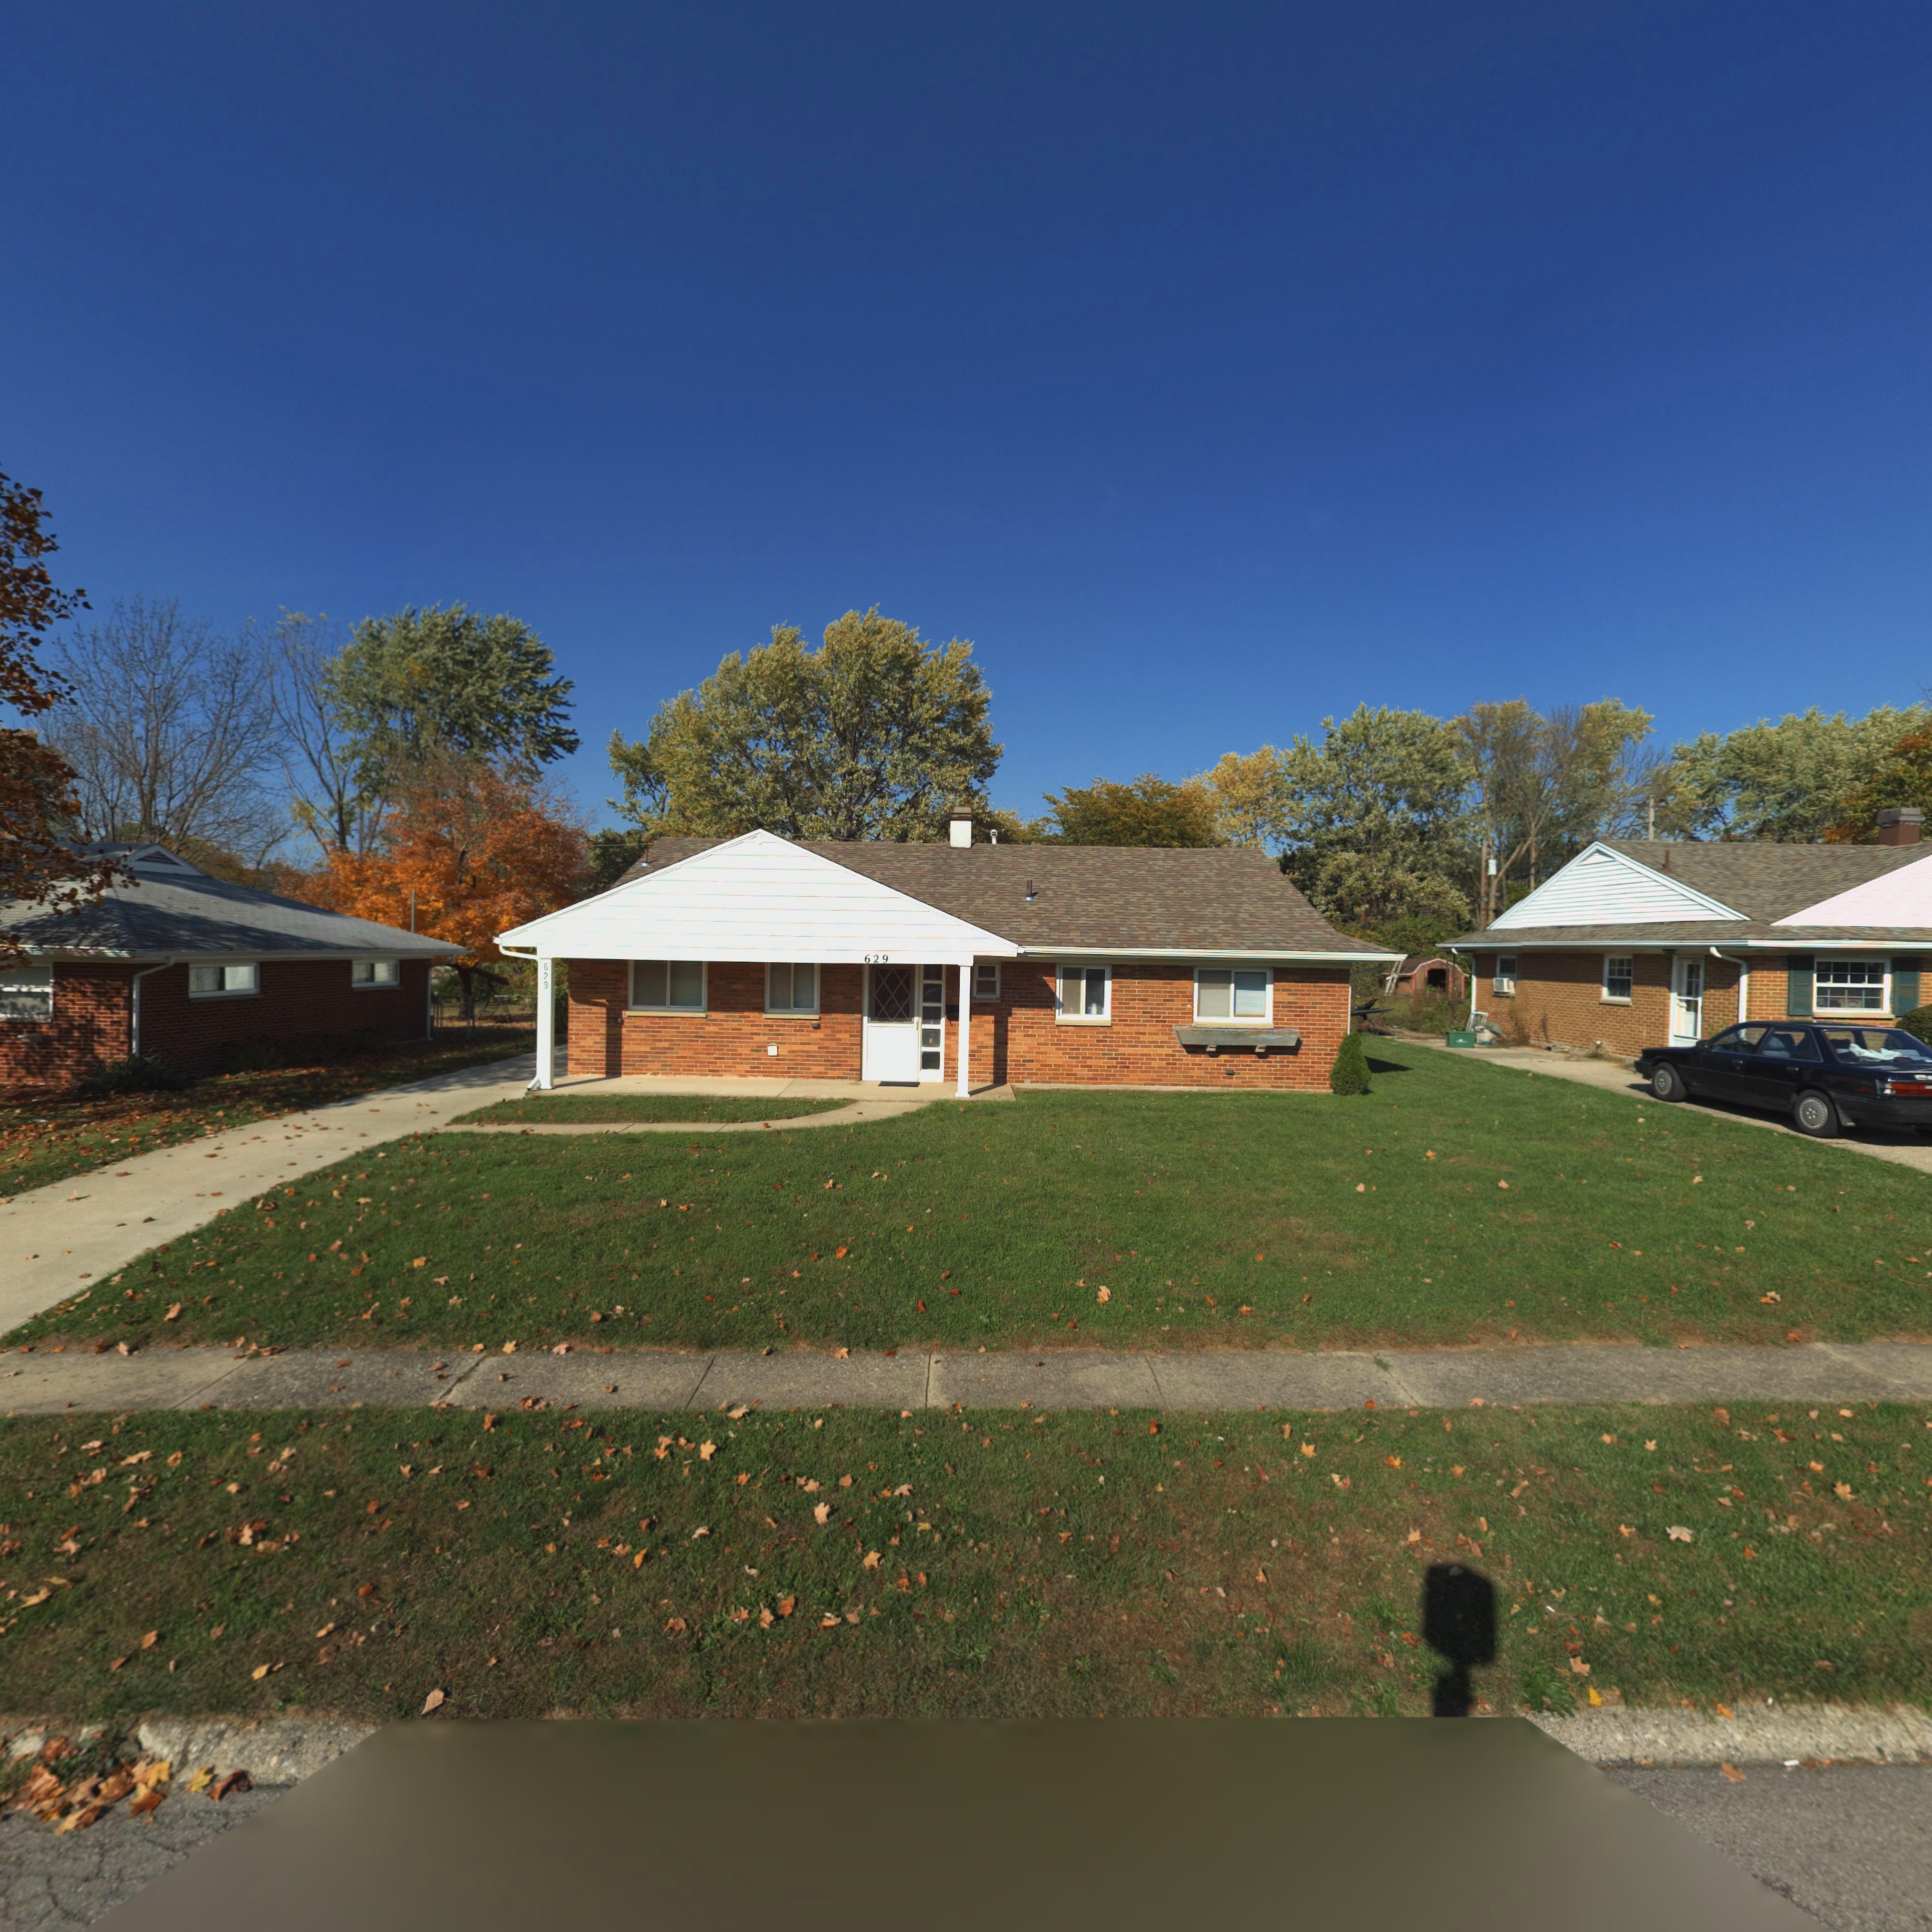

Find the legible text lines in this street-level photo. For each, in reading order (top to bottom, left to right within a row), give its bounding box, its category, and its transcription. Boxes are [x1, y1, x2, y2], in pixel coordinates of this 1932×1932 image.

[864, 954, 888, 964] StreetNumber: 629
[544, 963, 548, 989] StreetNumber: 629